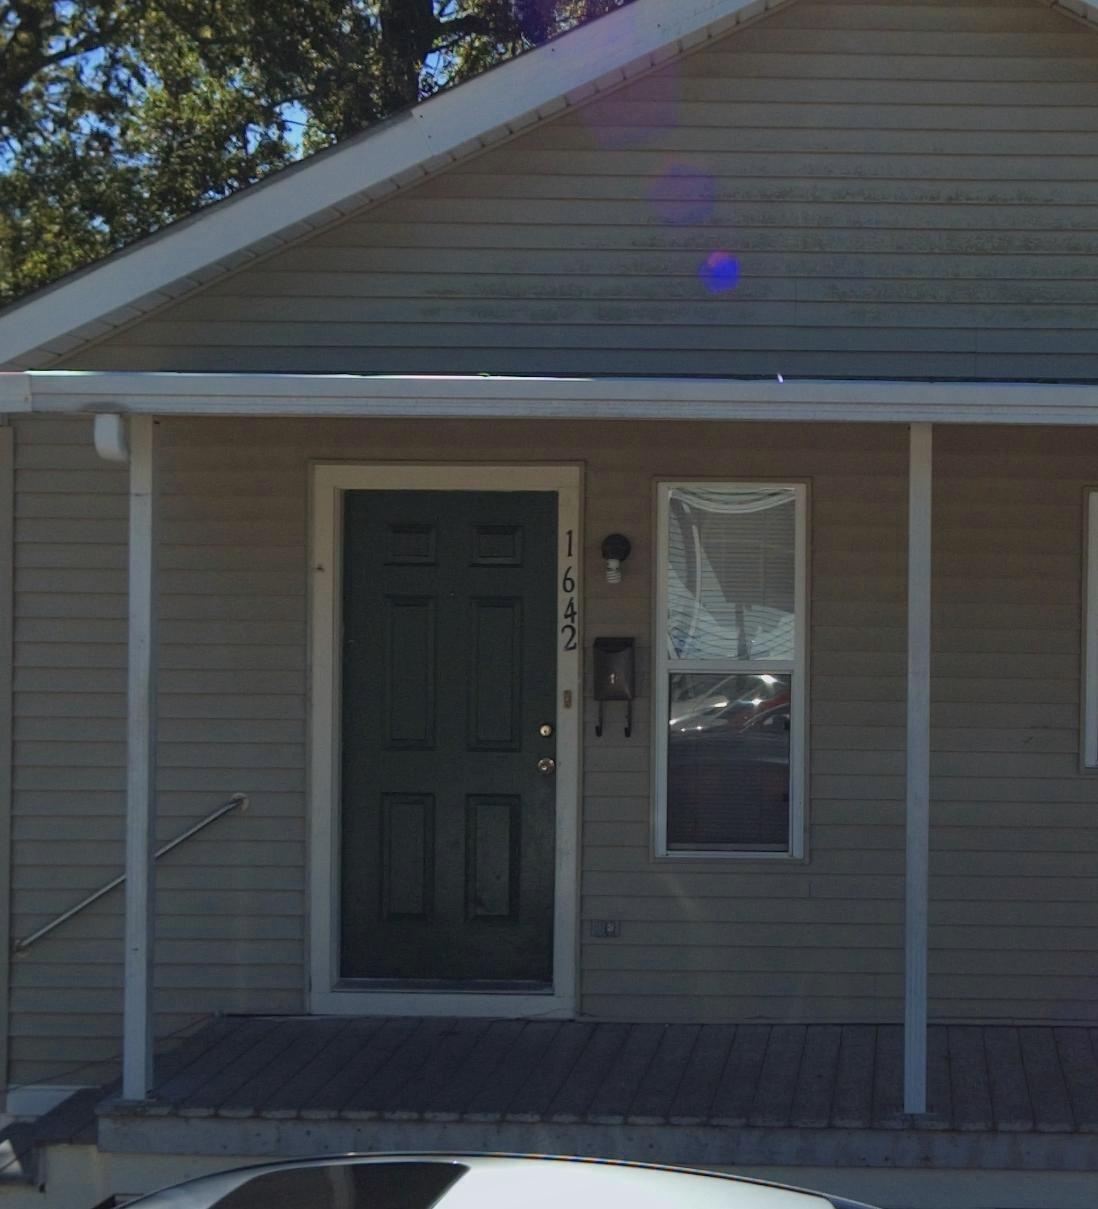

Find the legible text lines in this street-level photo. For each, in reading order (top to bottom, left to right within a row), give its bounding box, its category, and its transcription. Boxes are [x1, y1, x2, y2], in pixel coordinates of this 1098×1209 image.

[558, 525, 580, 655] StreetNumber: 1642